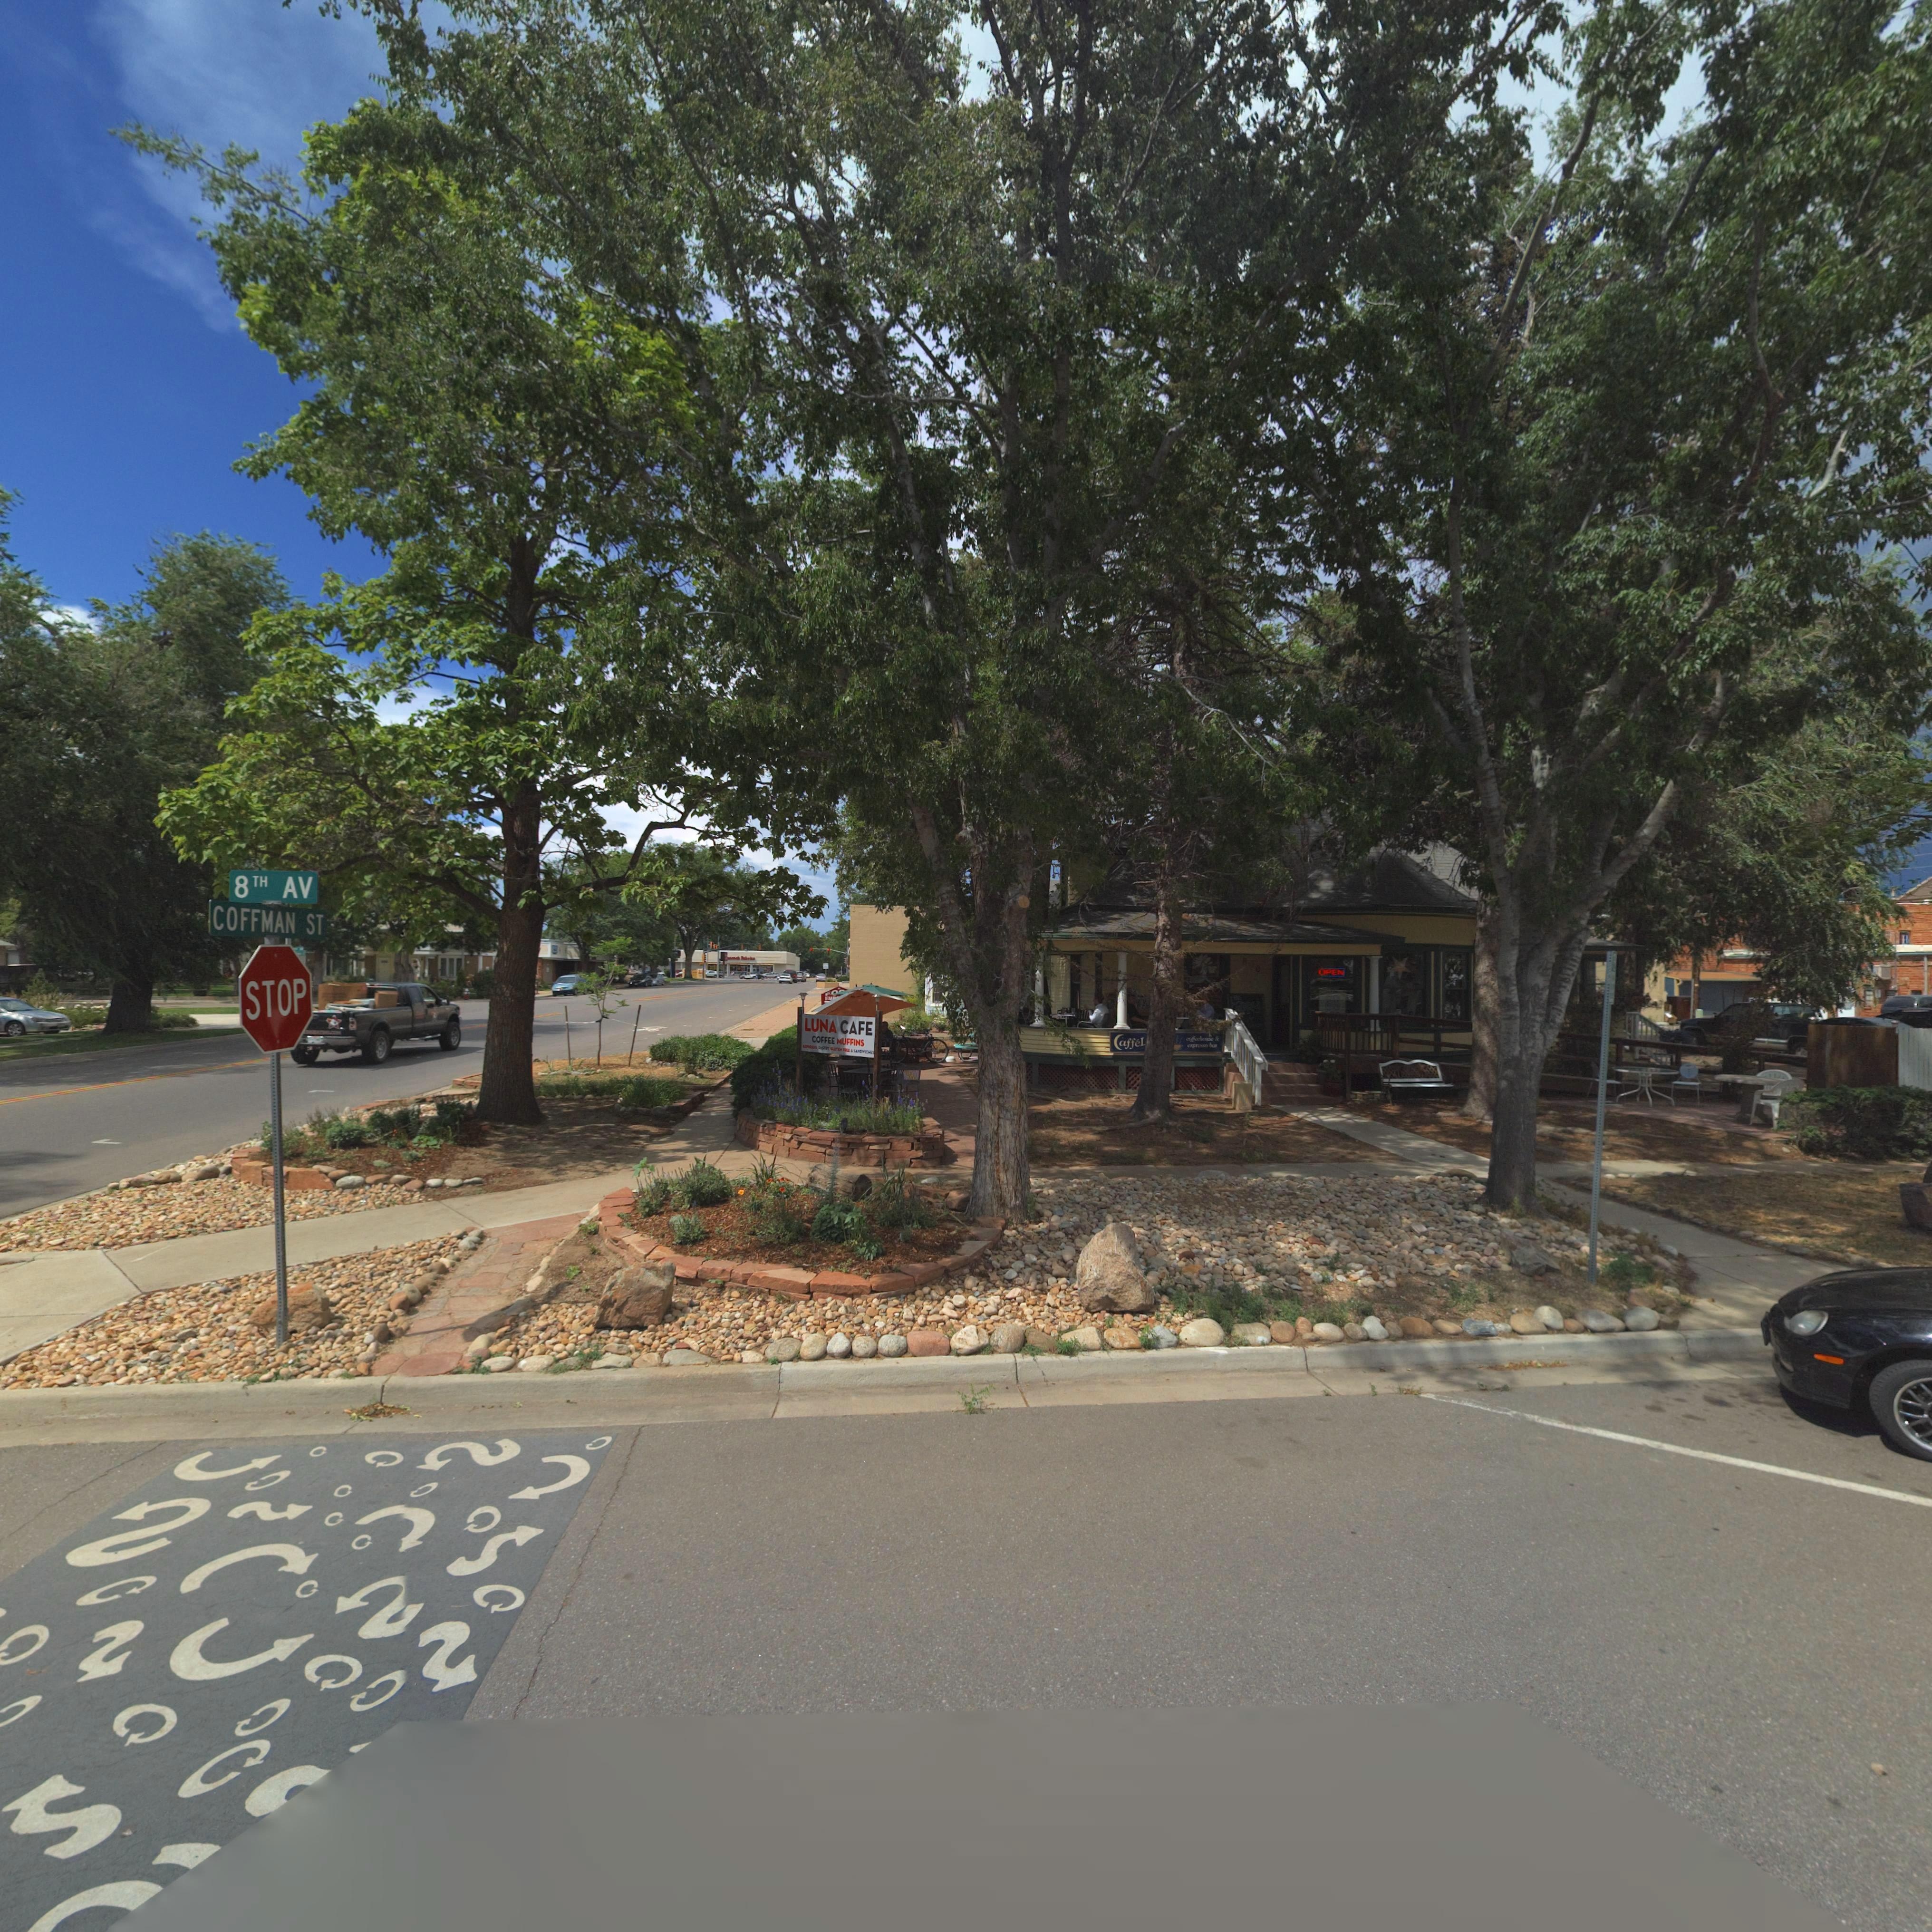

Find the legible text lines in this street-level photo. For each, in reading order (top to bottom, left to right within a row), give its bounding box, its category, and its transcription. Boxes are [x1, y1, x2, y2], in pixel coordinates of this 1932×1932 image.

[233, 873, 314, 900] StreetName: 8TH AV
[212, 904, 324, 936] StreetName: COFFMAN ST
[727, 955, 755, 961] BusinessName: *ncock Fabrics
[1241, 956, 1261, 973] StreetNumber: 800
[803, 1016, 873, 1036] BusinessName: LUNA CAFE
[1112, 1033, 1146, 1052] BusinessName: Caff*L